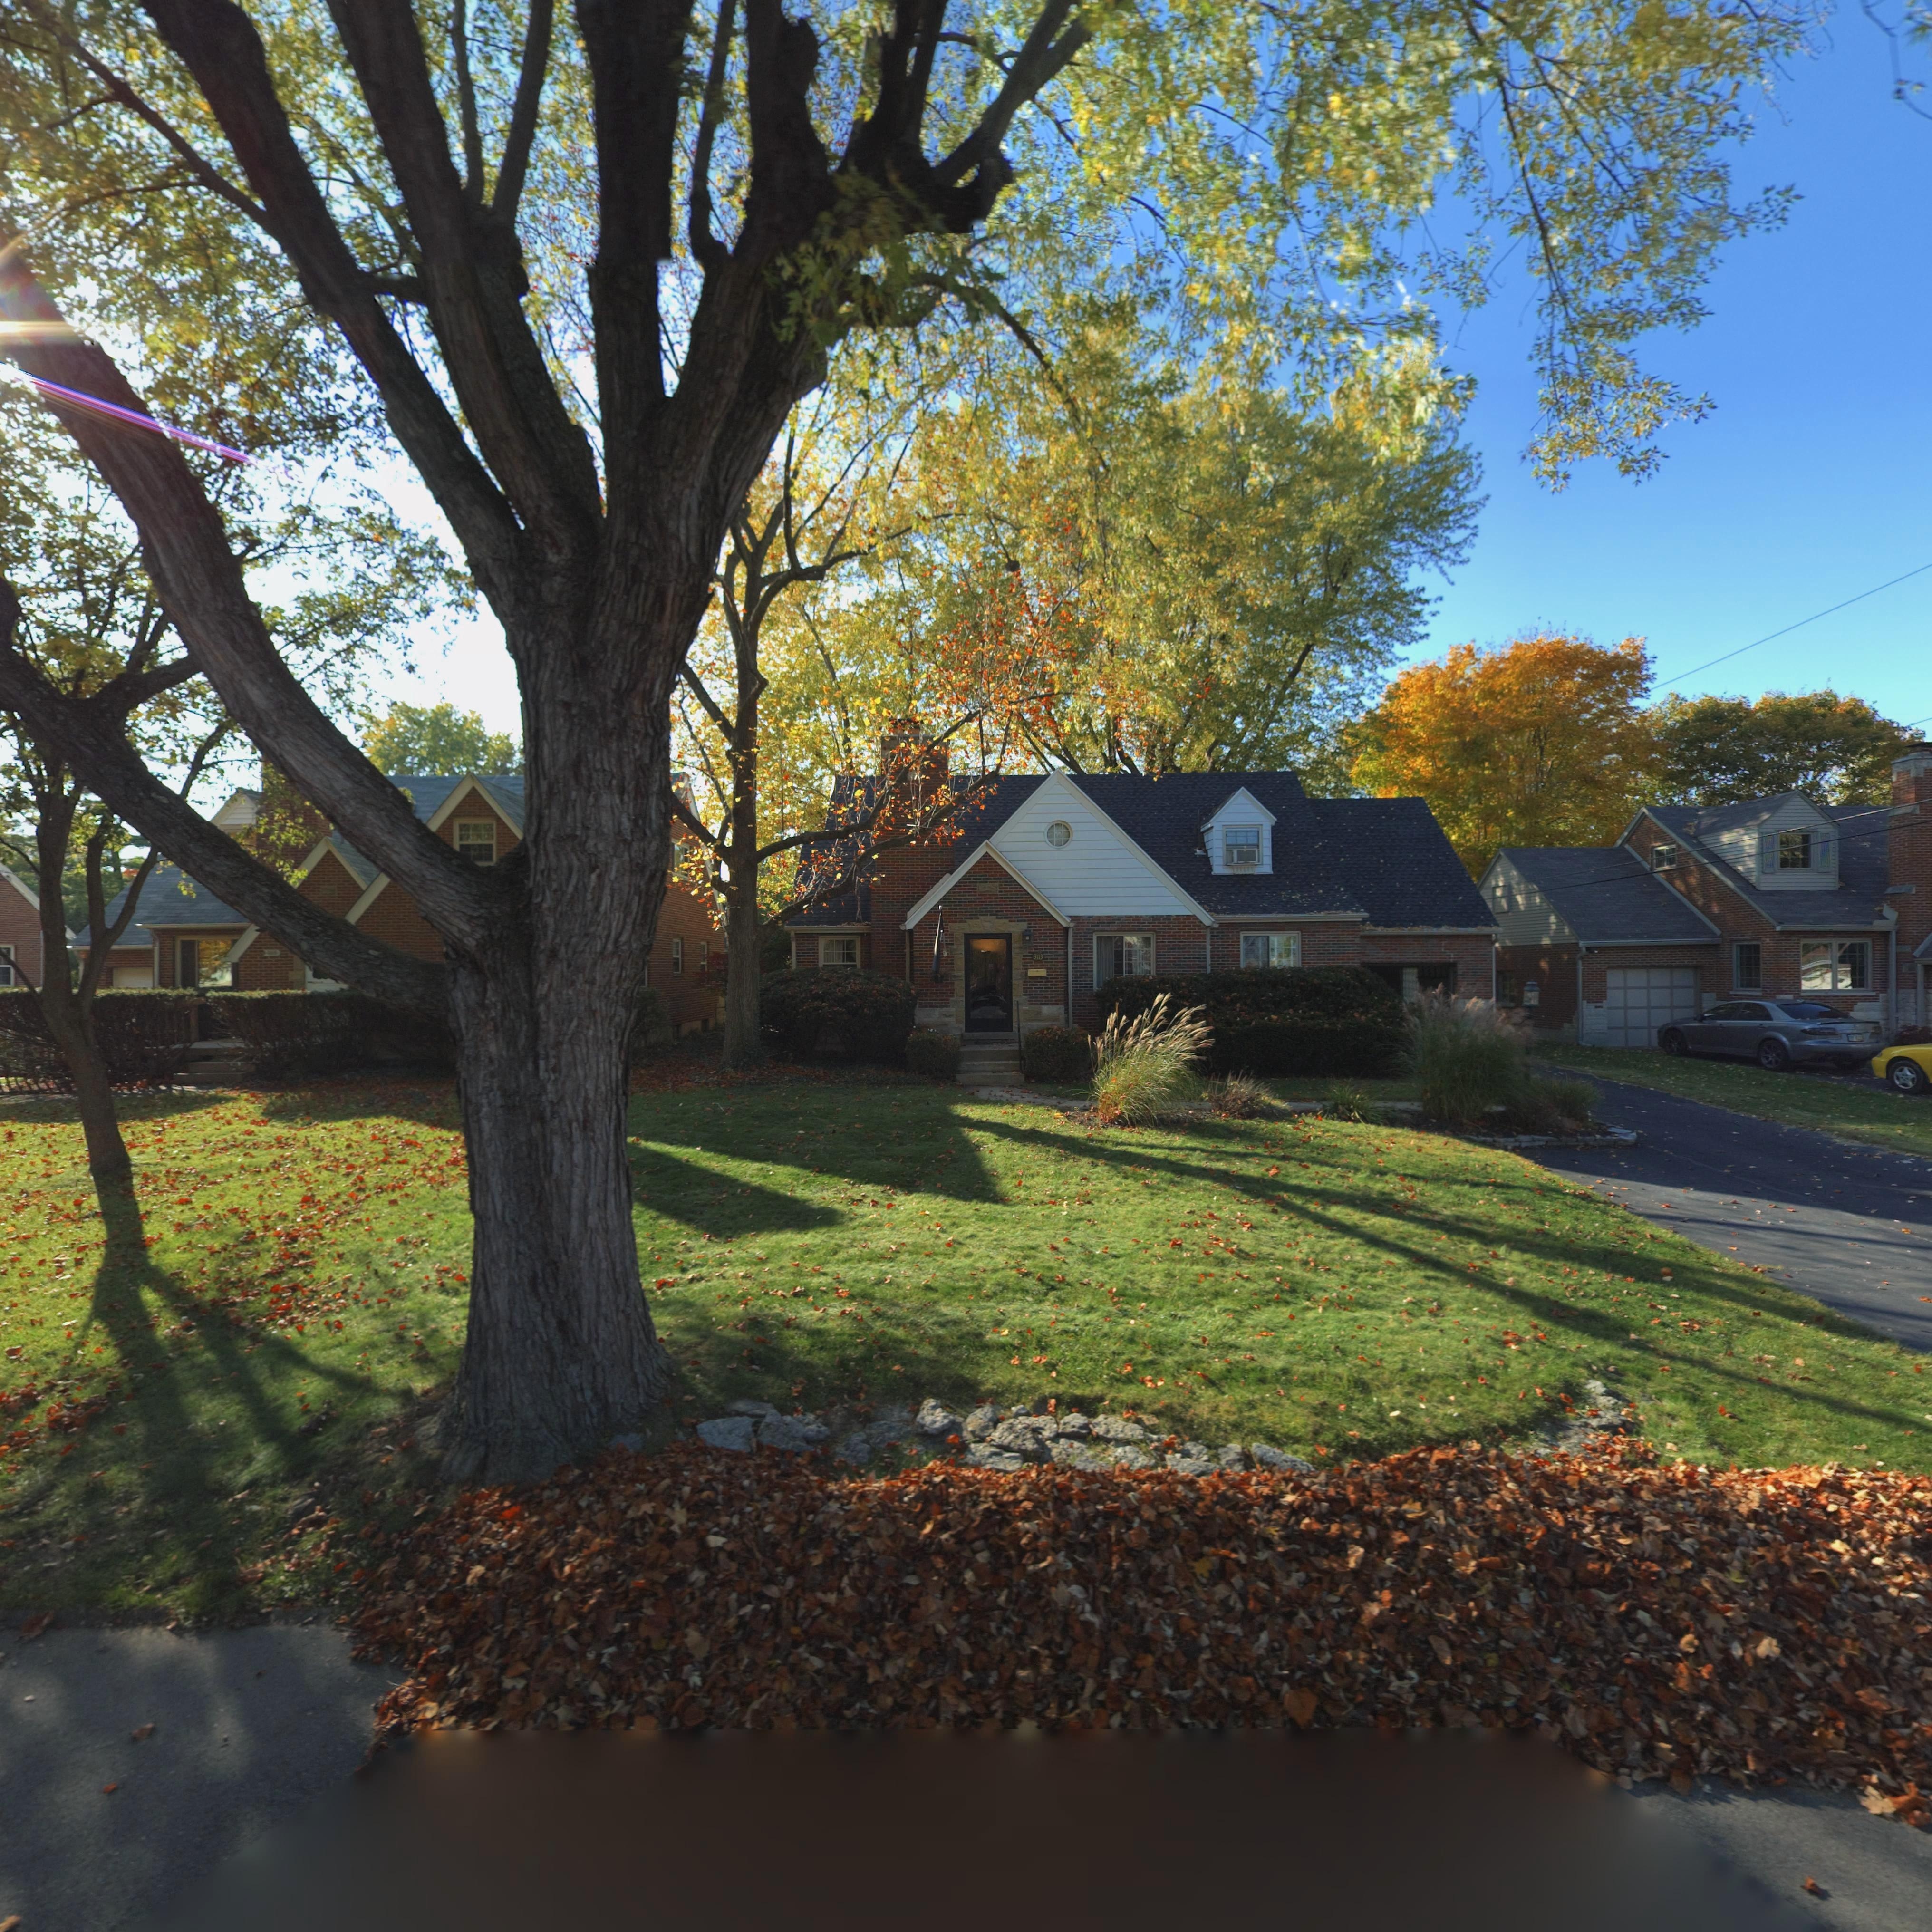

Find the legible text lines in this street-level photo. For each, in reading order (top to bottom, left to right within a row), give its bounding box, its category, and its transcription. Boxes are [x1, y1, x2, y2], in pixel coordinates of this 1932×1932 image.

[1033, 953, 1043, 960] StreetNumber: 3113